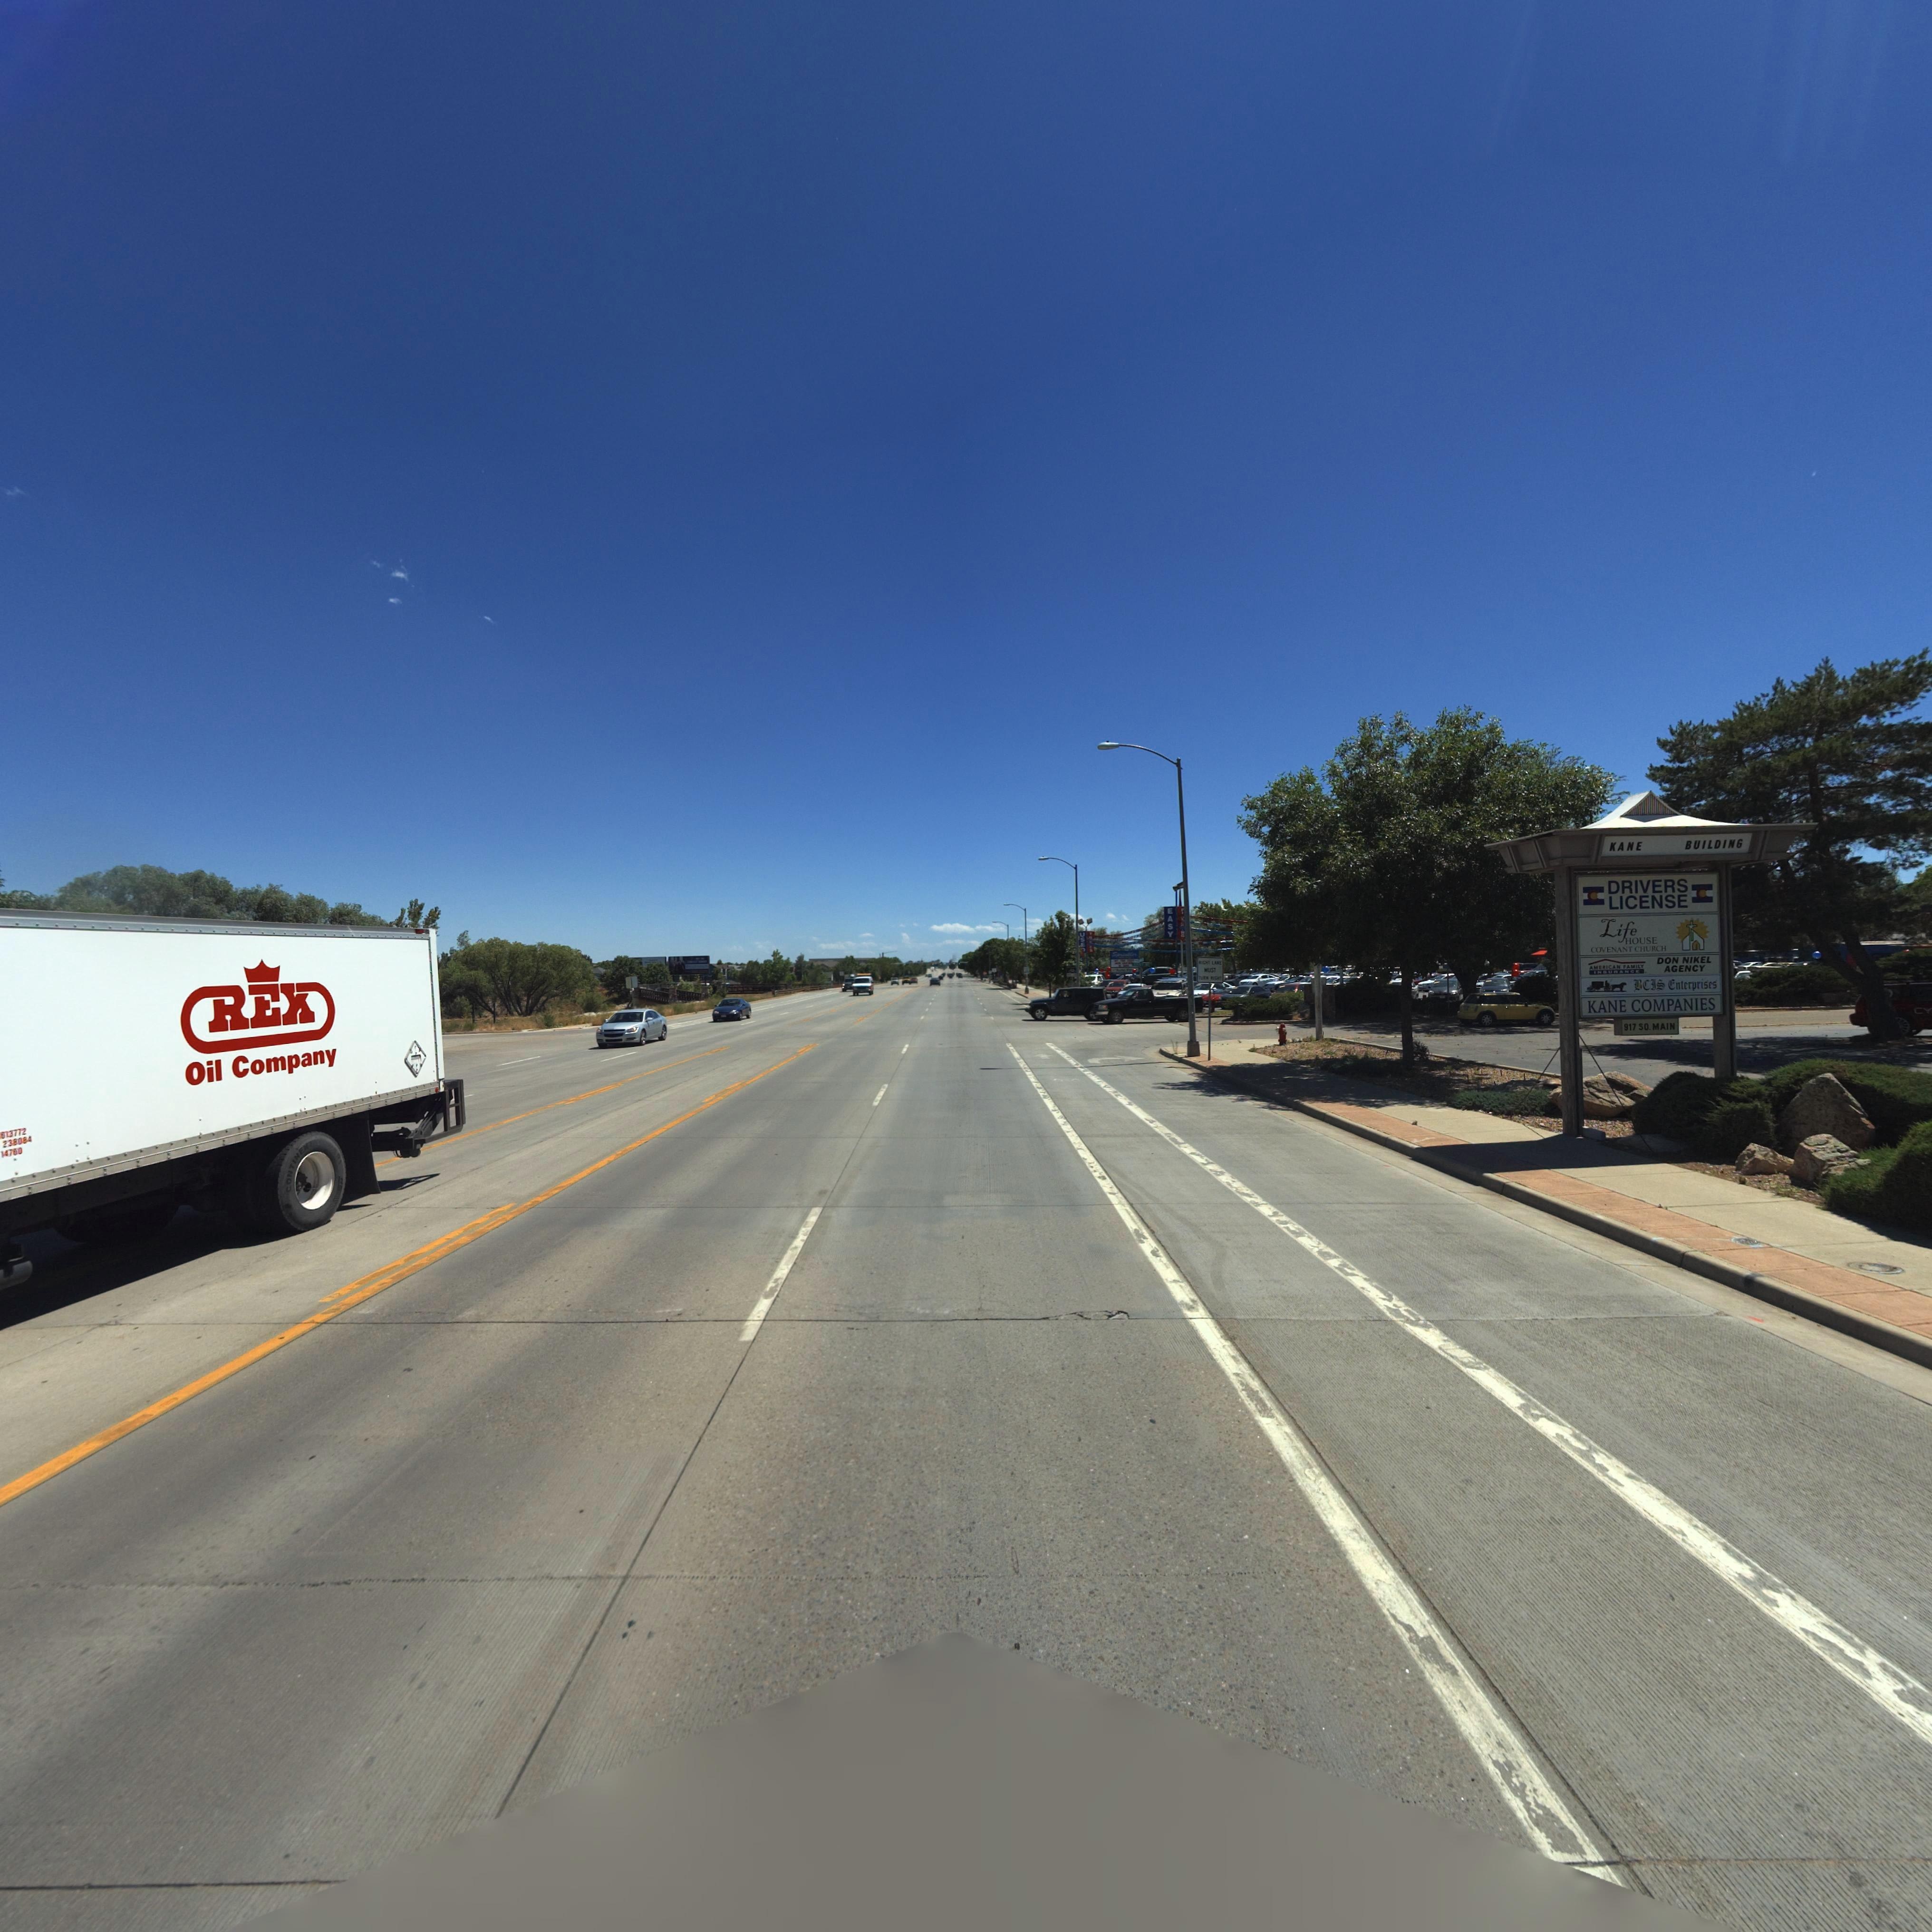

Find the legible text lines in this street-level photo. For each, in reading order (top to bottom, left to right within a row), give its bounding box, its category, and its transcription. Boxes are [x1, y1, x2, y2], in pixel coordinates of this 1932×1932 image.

[1601, 918, 1637, 937] BusinessName: Life
[1625, 936, 1658, 945] BusinessName: HOUSE
[1590, 945, 1666, 953] BusinessName: COVENANT CHURCH
[1111, 951, 1137, 957] BusinessName: Spr***les
[1588, 964, 1644, 970] BusinessName: AMERICAN FAMILY
[1594, 969, 1640, 975] BusinessName: INSURANCE
[1634, 978, 1717, 991] BusinessName: BCIS Enterprises
[1588, 996, 1715, 1013] BusinessName: KANE COMPANIES
[1623, 1023, 1636, 1031] StreetNumber: 917
[1638, 1022, 1675, 1030] StreetName: SO. MAIN